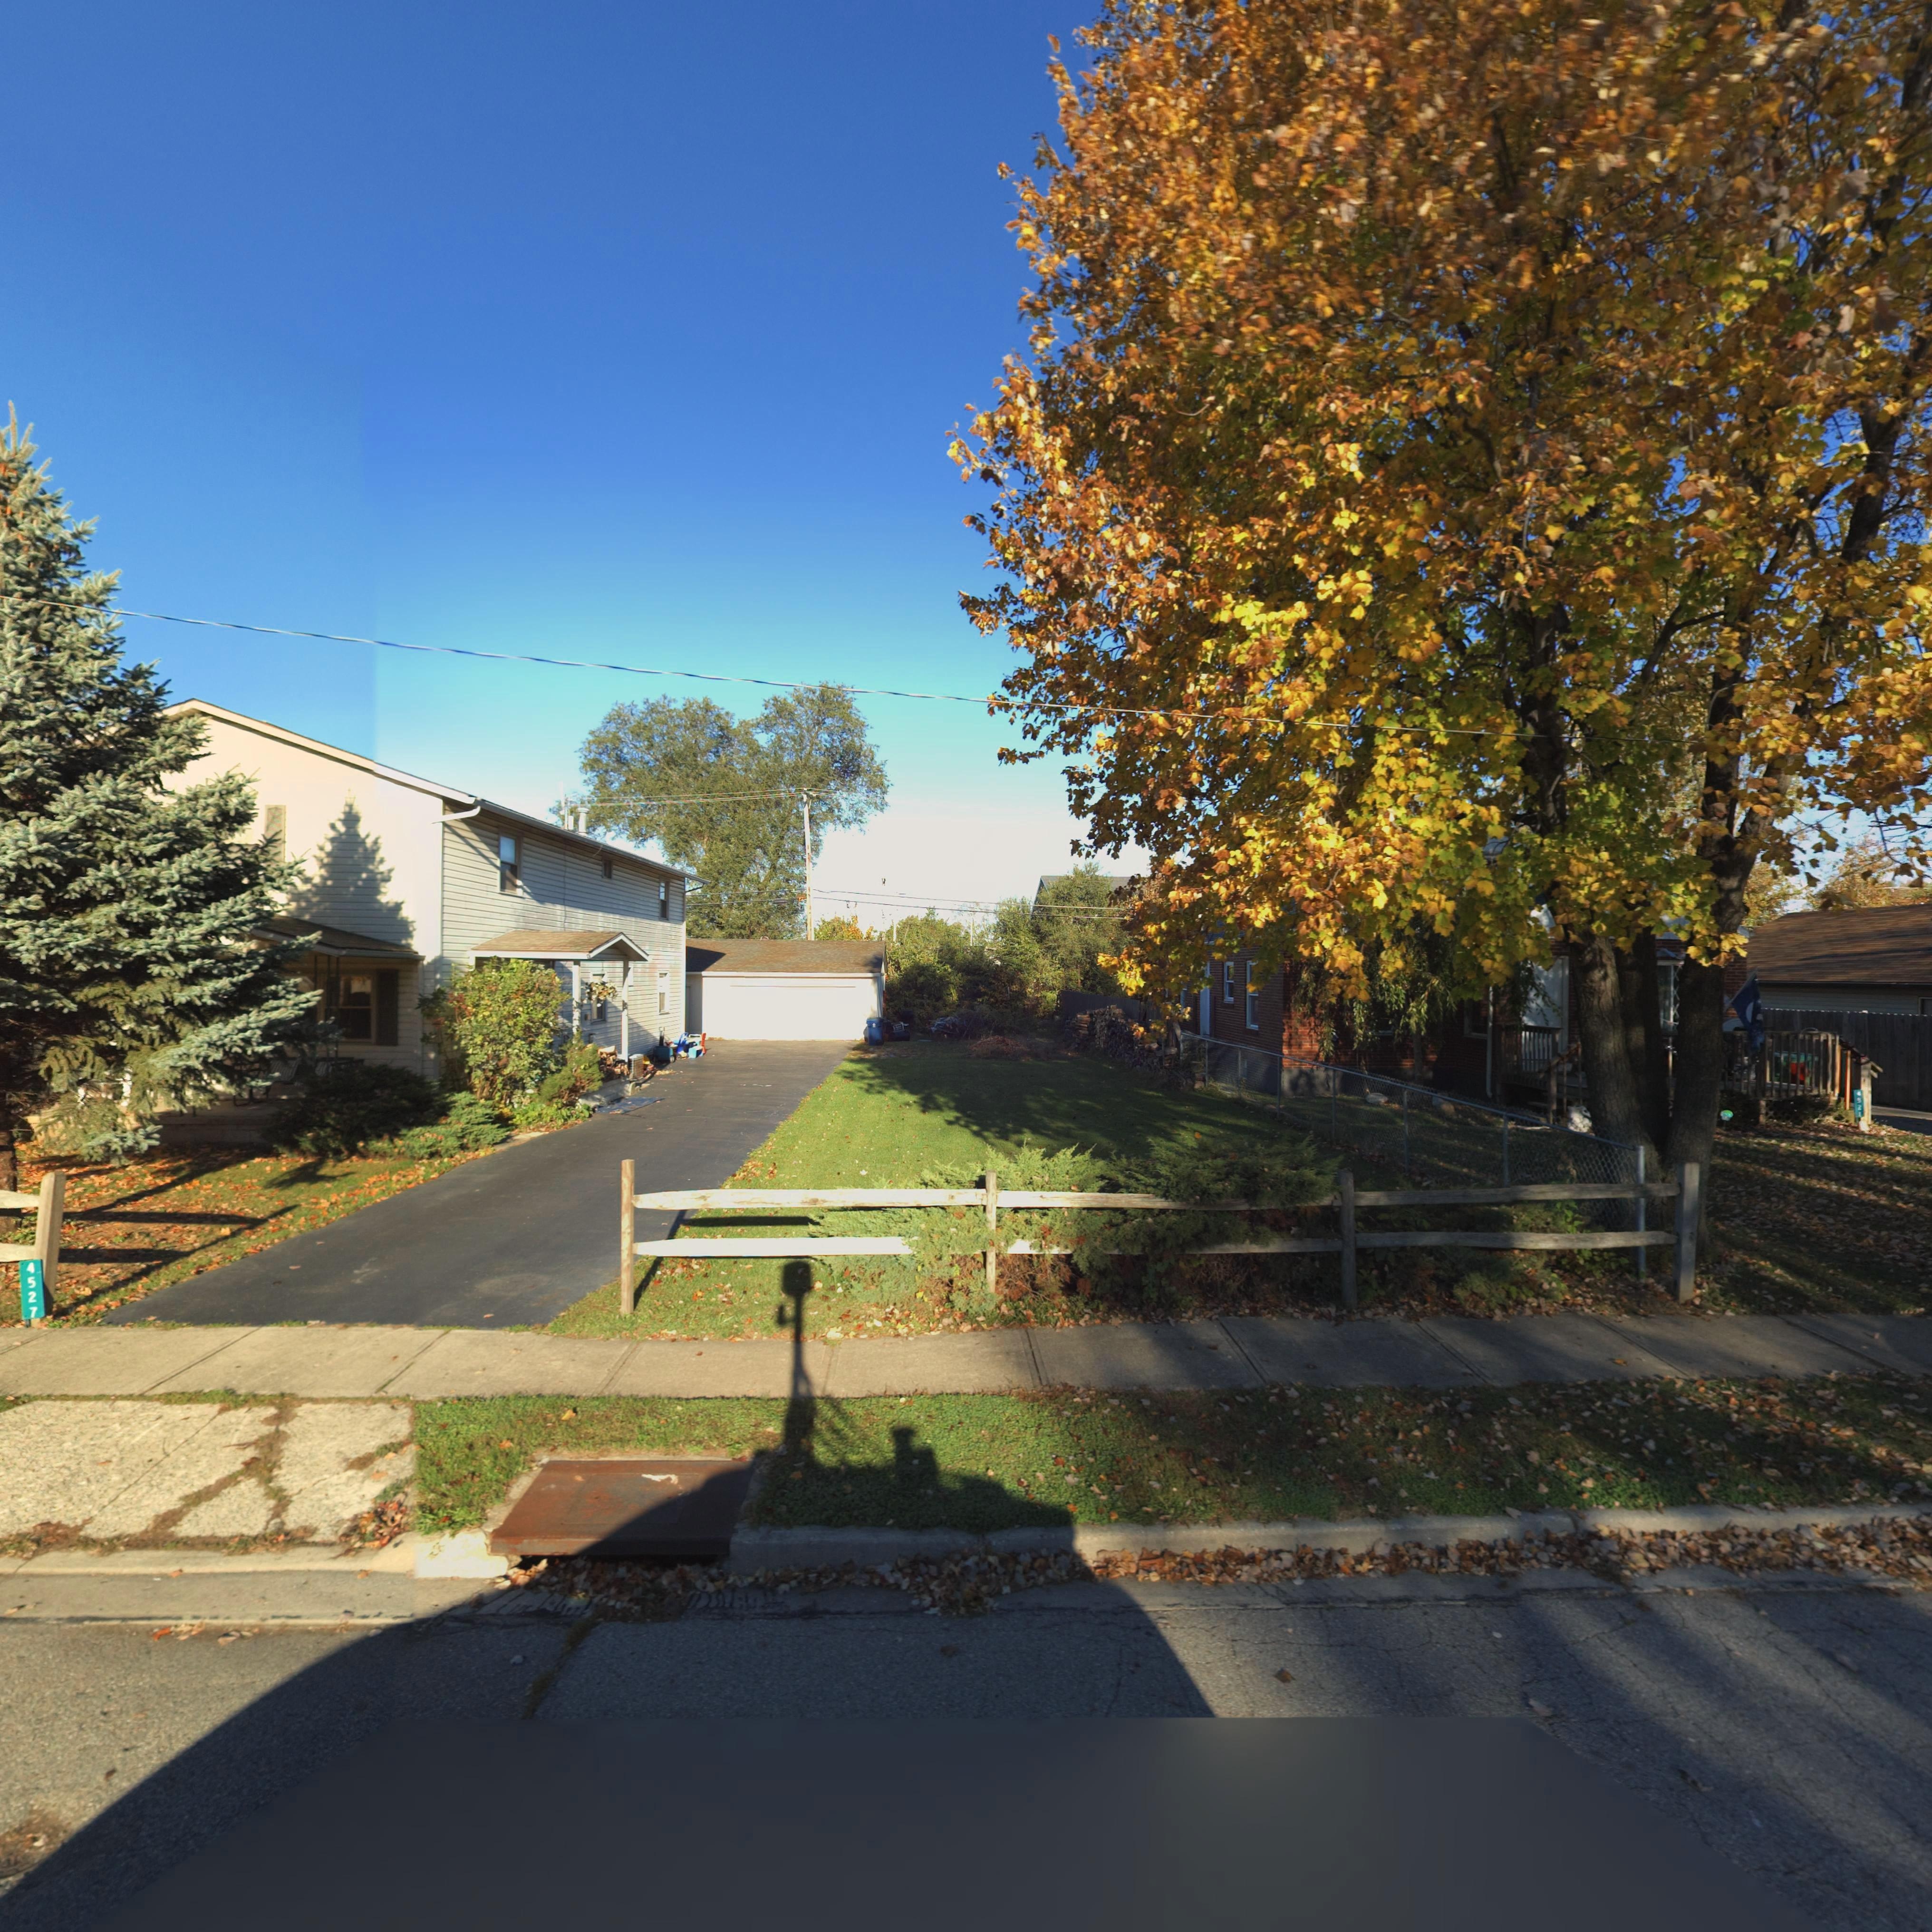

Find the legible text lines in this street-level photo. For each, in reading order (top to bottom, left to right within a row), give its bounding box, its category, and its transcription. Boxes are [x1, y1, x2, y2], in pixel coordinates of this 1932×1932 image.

[24, 1260, 39, 1319] StreetNumber: 4527